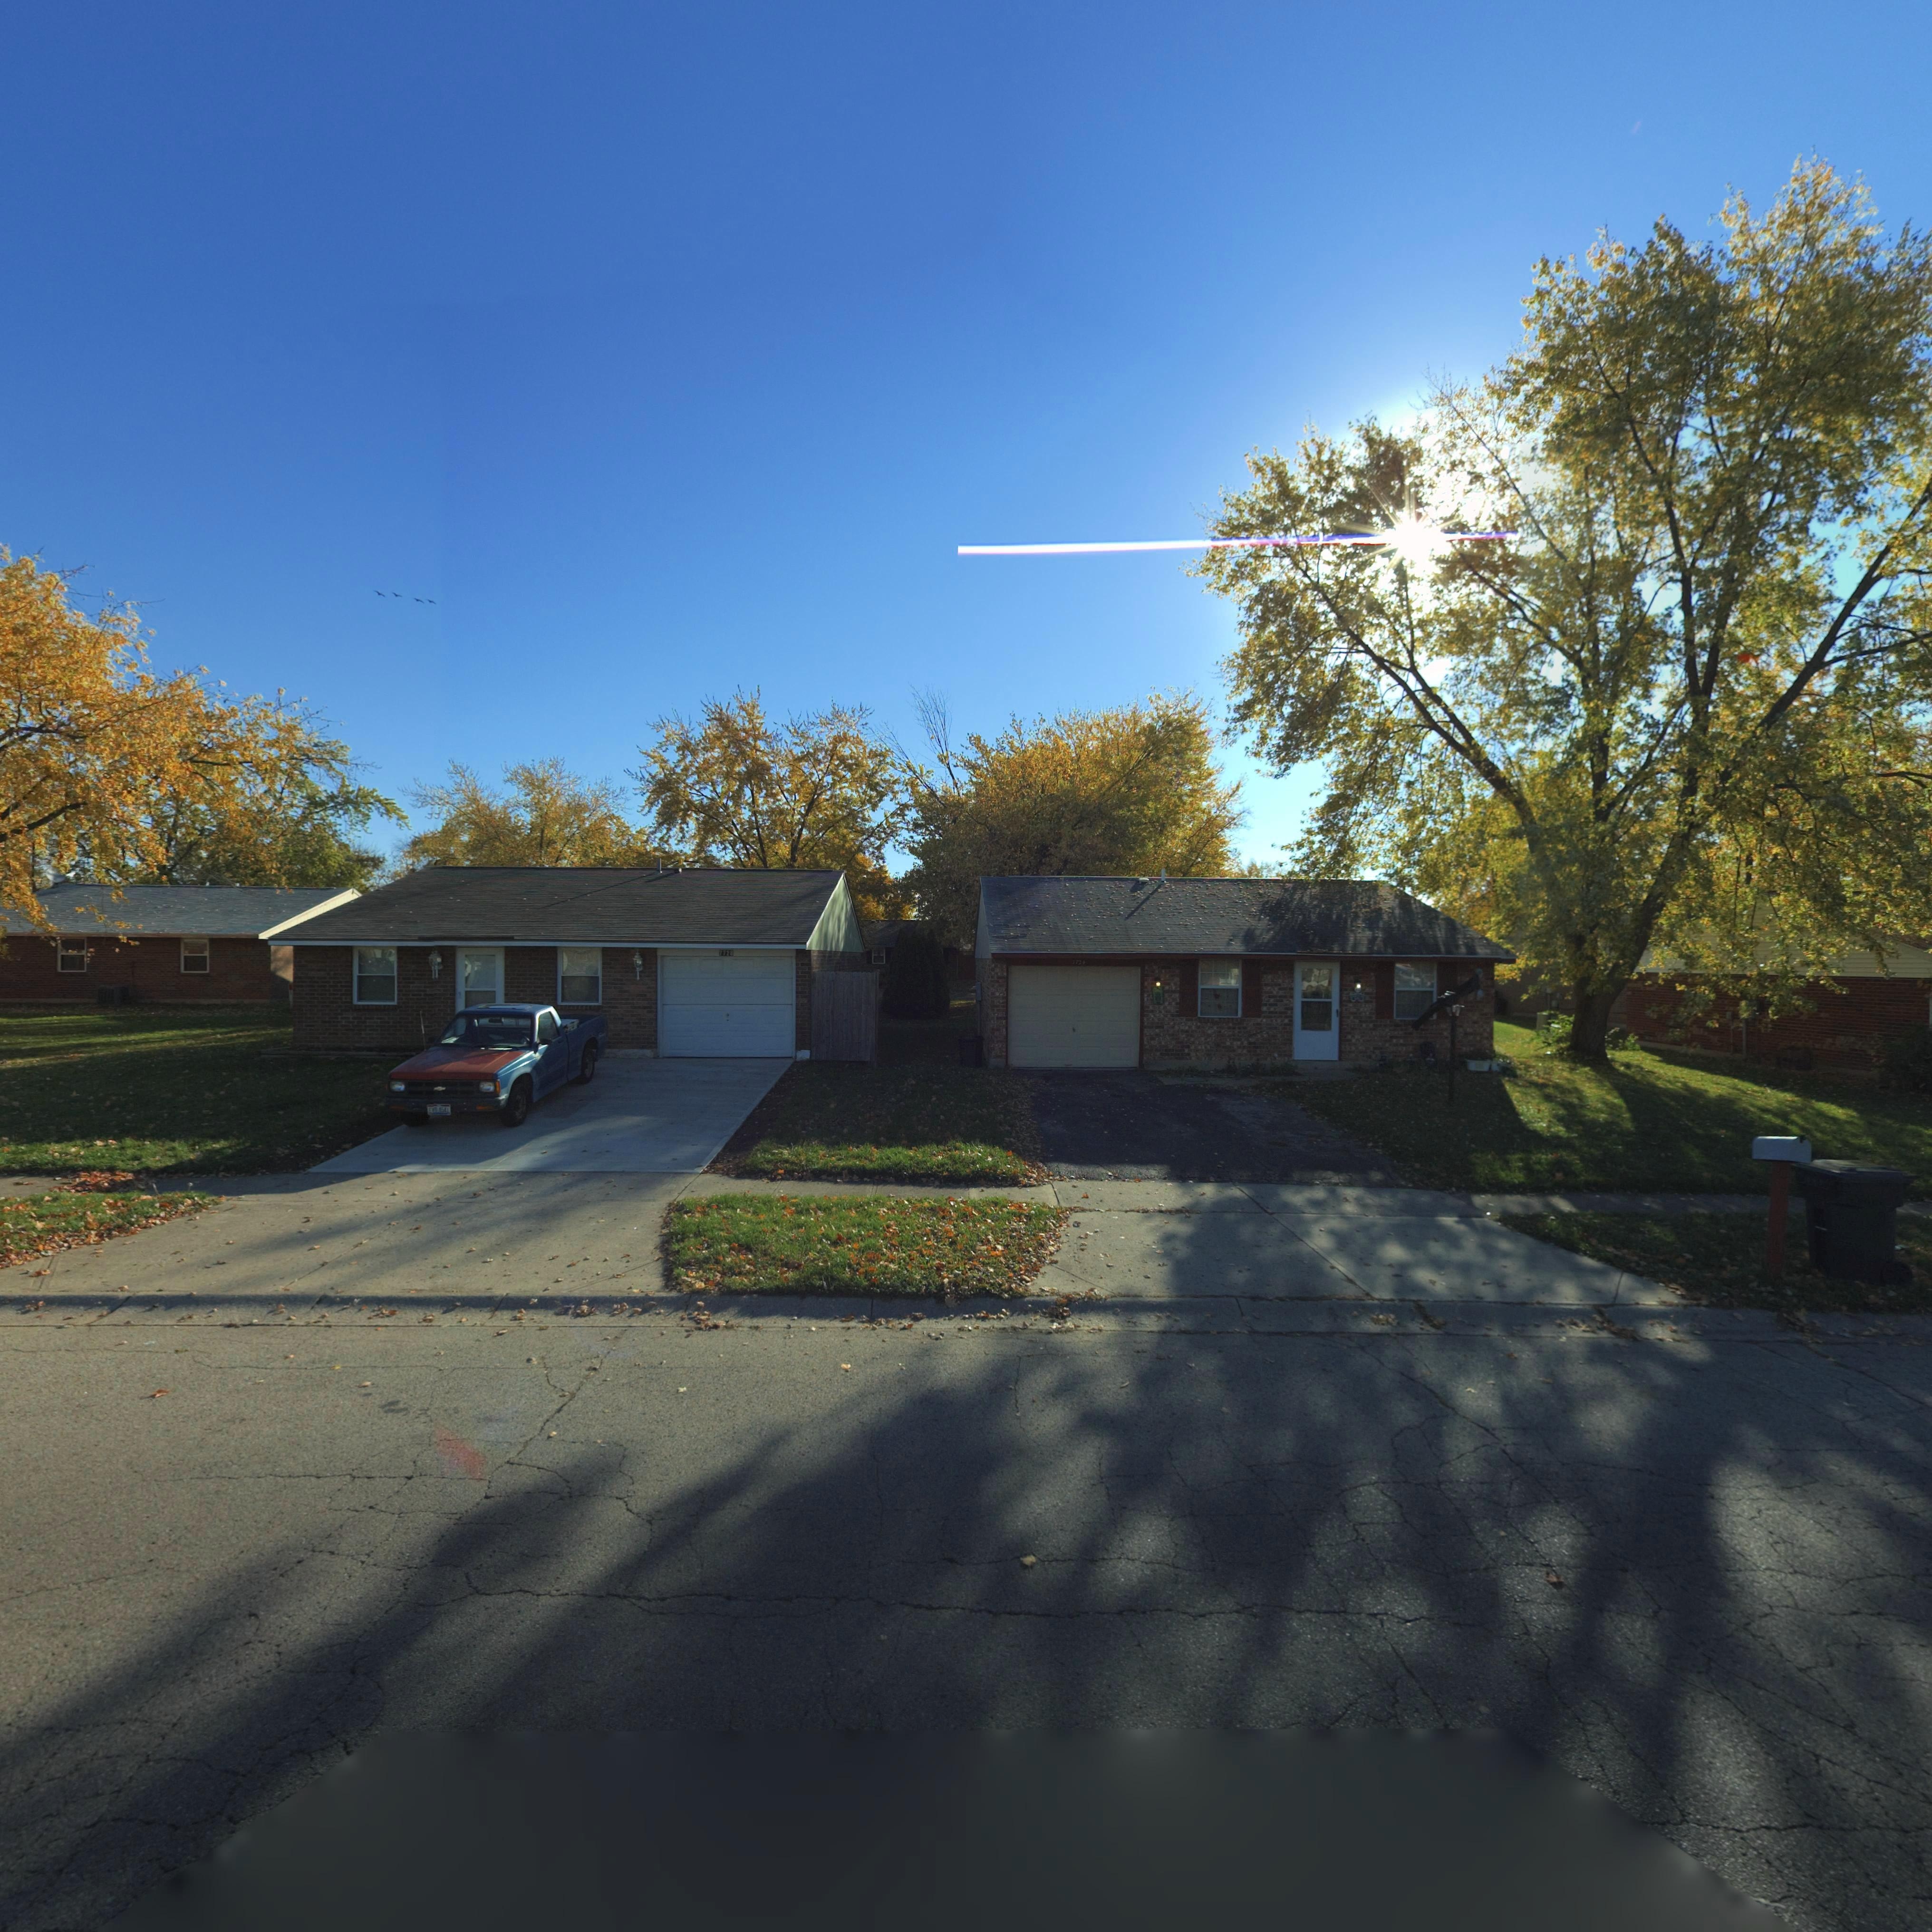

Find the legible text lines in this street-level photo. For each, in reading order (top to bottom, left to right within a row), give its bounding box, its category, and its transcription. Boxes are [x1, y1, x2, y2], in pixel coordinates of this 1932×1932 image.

[718, 949, 734, 957] StreetNumber: 7728
[1071, 959, 1086, 966] StreetNumber: 7724